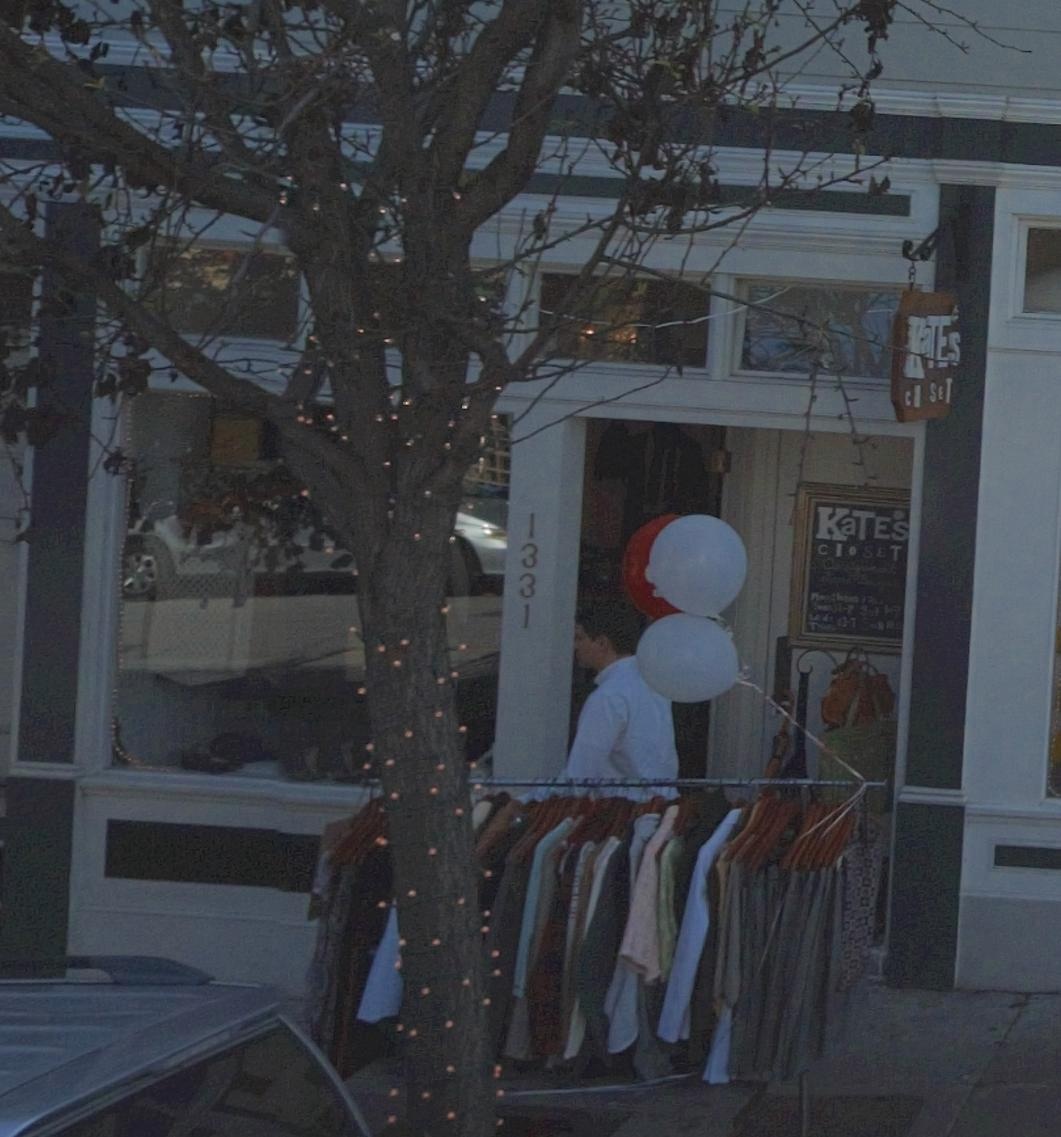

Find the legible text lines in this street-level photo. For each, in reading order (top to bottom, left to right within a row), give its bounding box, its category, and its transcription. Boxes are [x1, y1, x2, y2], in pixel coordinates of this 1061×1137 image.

[902, 314, 962, 380] BusinessName: *aTEs
[904, 377, 954, 409] BusinessName: Cl*SET
[815, 505, 911, 543] BusinessName: KaTEs
[817, 542, 904, 563] BusinessName: CloSET
[518, 512, 540, 631] StreetNumber: 1331
[809, 591, 820, 602] None: M
[807, 620, 819, 631] None: T